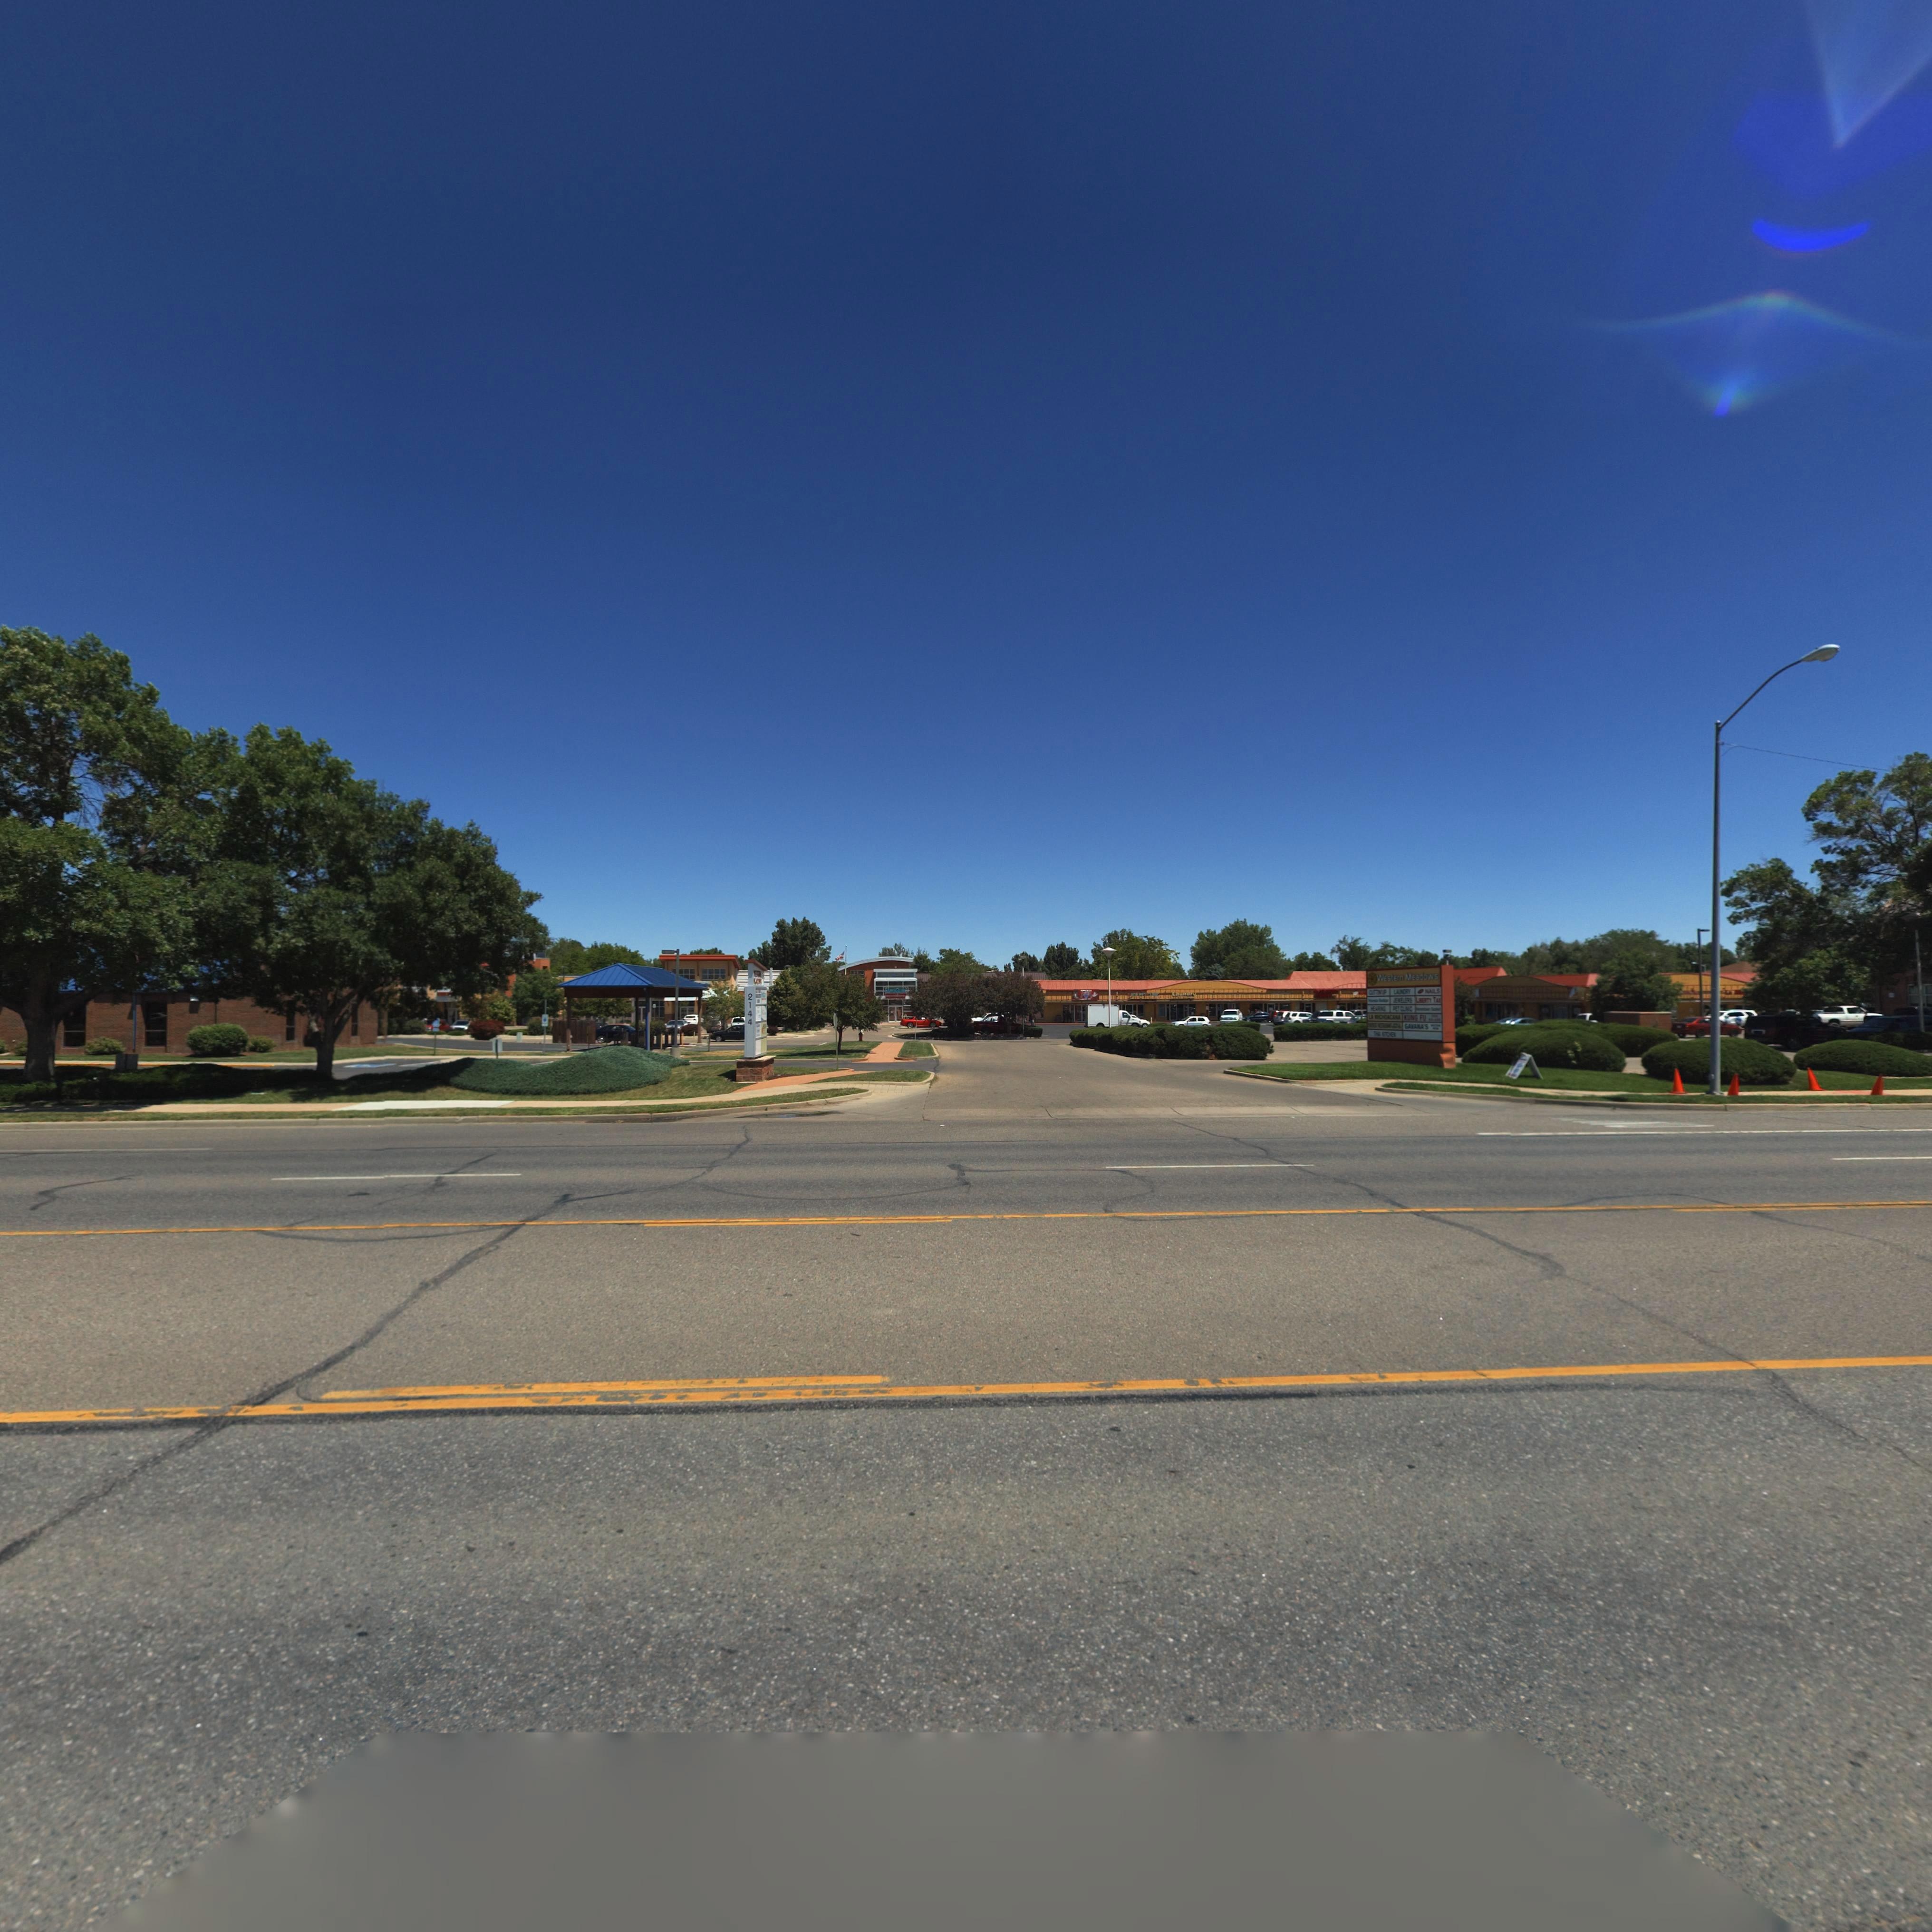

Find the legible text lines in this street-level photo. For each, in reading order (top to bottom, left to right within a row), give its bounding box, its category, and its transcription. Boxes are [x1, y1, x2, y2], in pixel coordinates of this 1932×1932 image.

[1130, 992, 1159, 997] BusinessName: A** PET CL***C
[1368, 989, 1387, 995] BusinessName: CUTTIN' UP
[1424, 988, 1440, 994] BusinessName: NAILS
[1416, 996, 1441, 1003] BusinessName: LIBERTY TA*
[747, 993, 753, 1025] StreetNumber: 2144
[1368, 1014, 1401, 1020] BusinessName: LA **C**ACANA
[1404, 1023, 1429, 1030] BusinessName: GAVANA'S
[1373, 1031, 1396, 1037] BusinessName: TH*I K**CHEN